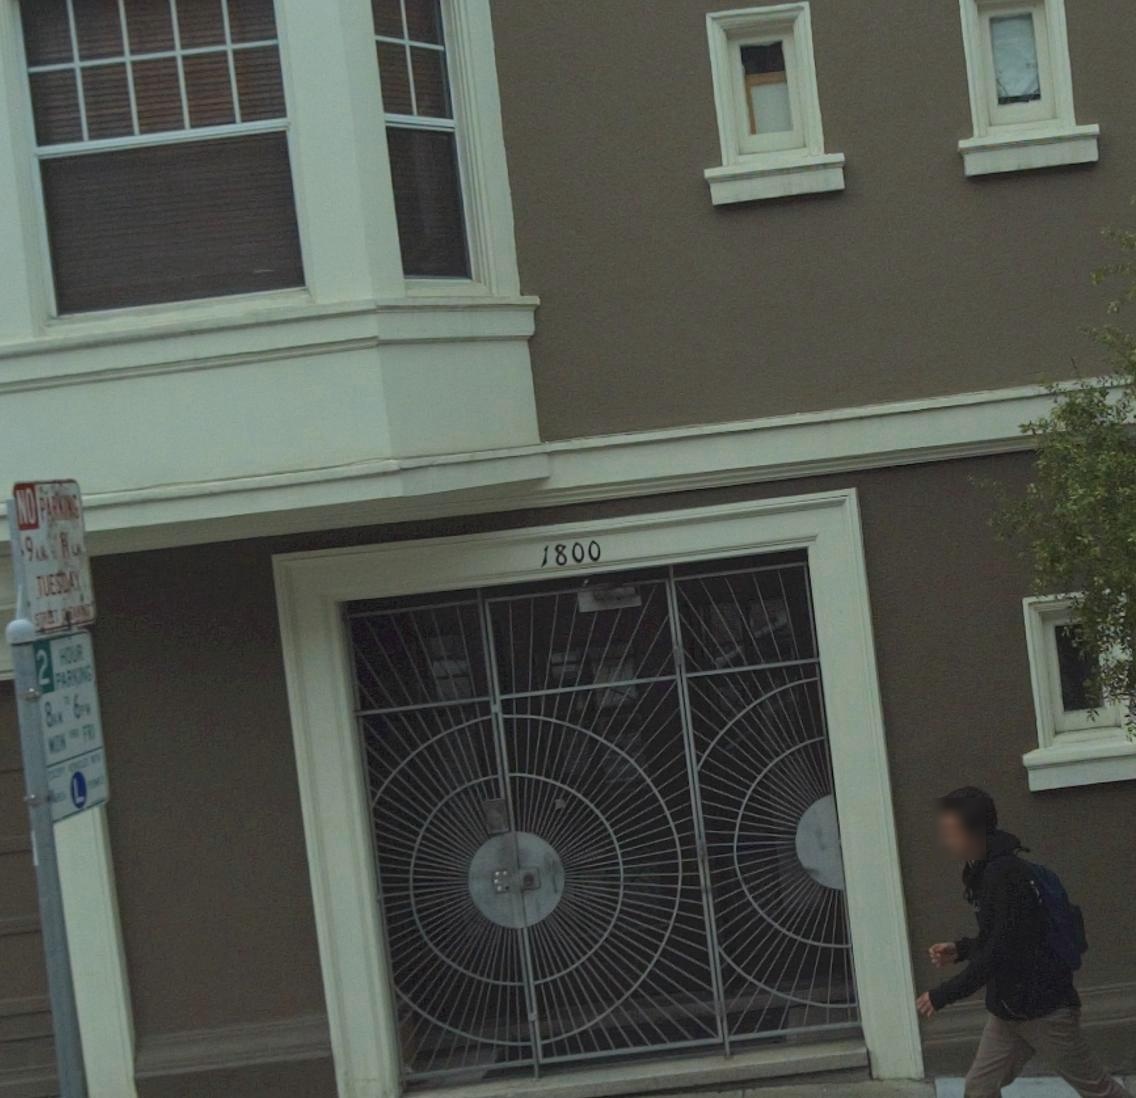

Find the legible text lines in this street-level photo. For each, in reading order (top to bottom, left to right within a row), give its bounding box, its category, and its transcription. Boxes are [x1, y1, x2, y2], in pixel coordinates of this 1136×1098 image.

[12, 485, 82, 530] None: NO PARKING
[22, 532, 36, 565] None: 9
[540, 537, 603, 569] StreetNumber: 1800
[33, 567, 84, 599] None: TUESDAY
[31, 645, 52, 689] None: 2
[55, 639, 87, 670] None: HOUR
[52, 661, 96, 694] None: PARKING
[41, 697, 57, 730] None: 8
[71, 690, 83, 722] None: 6
[69, 775, 87, 807] None: L